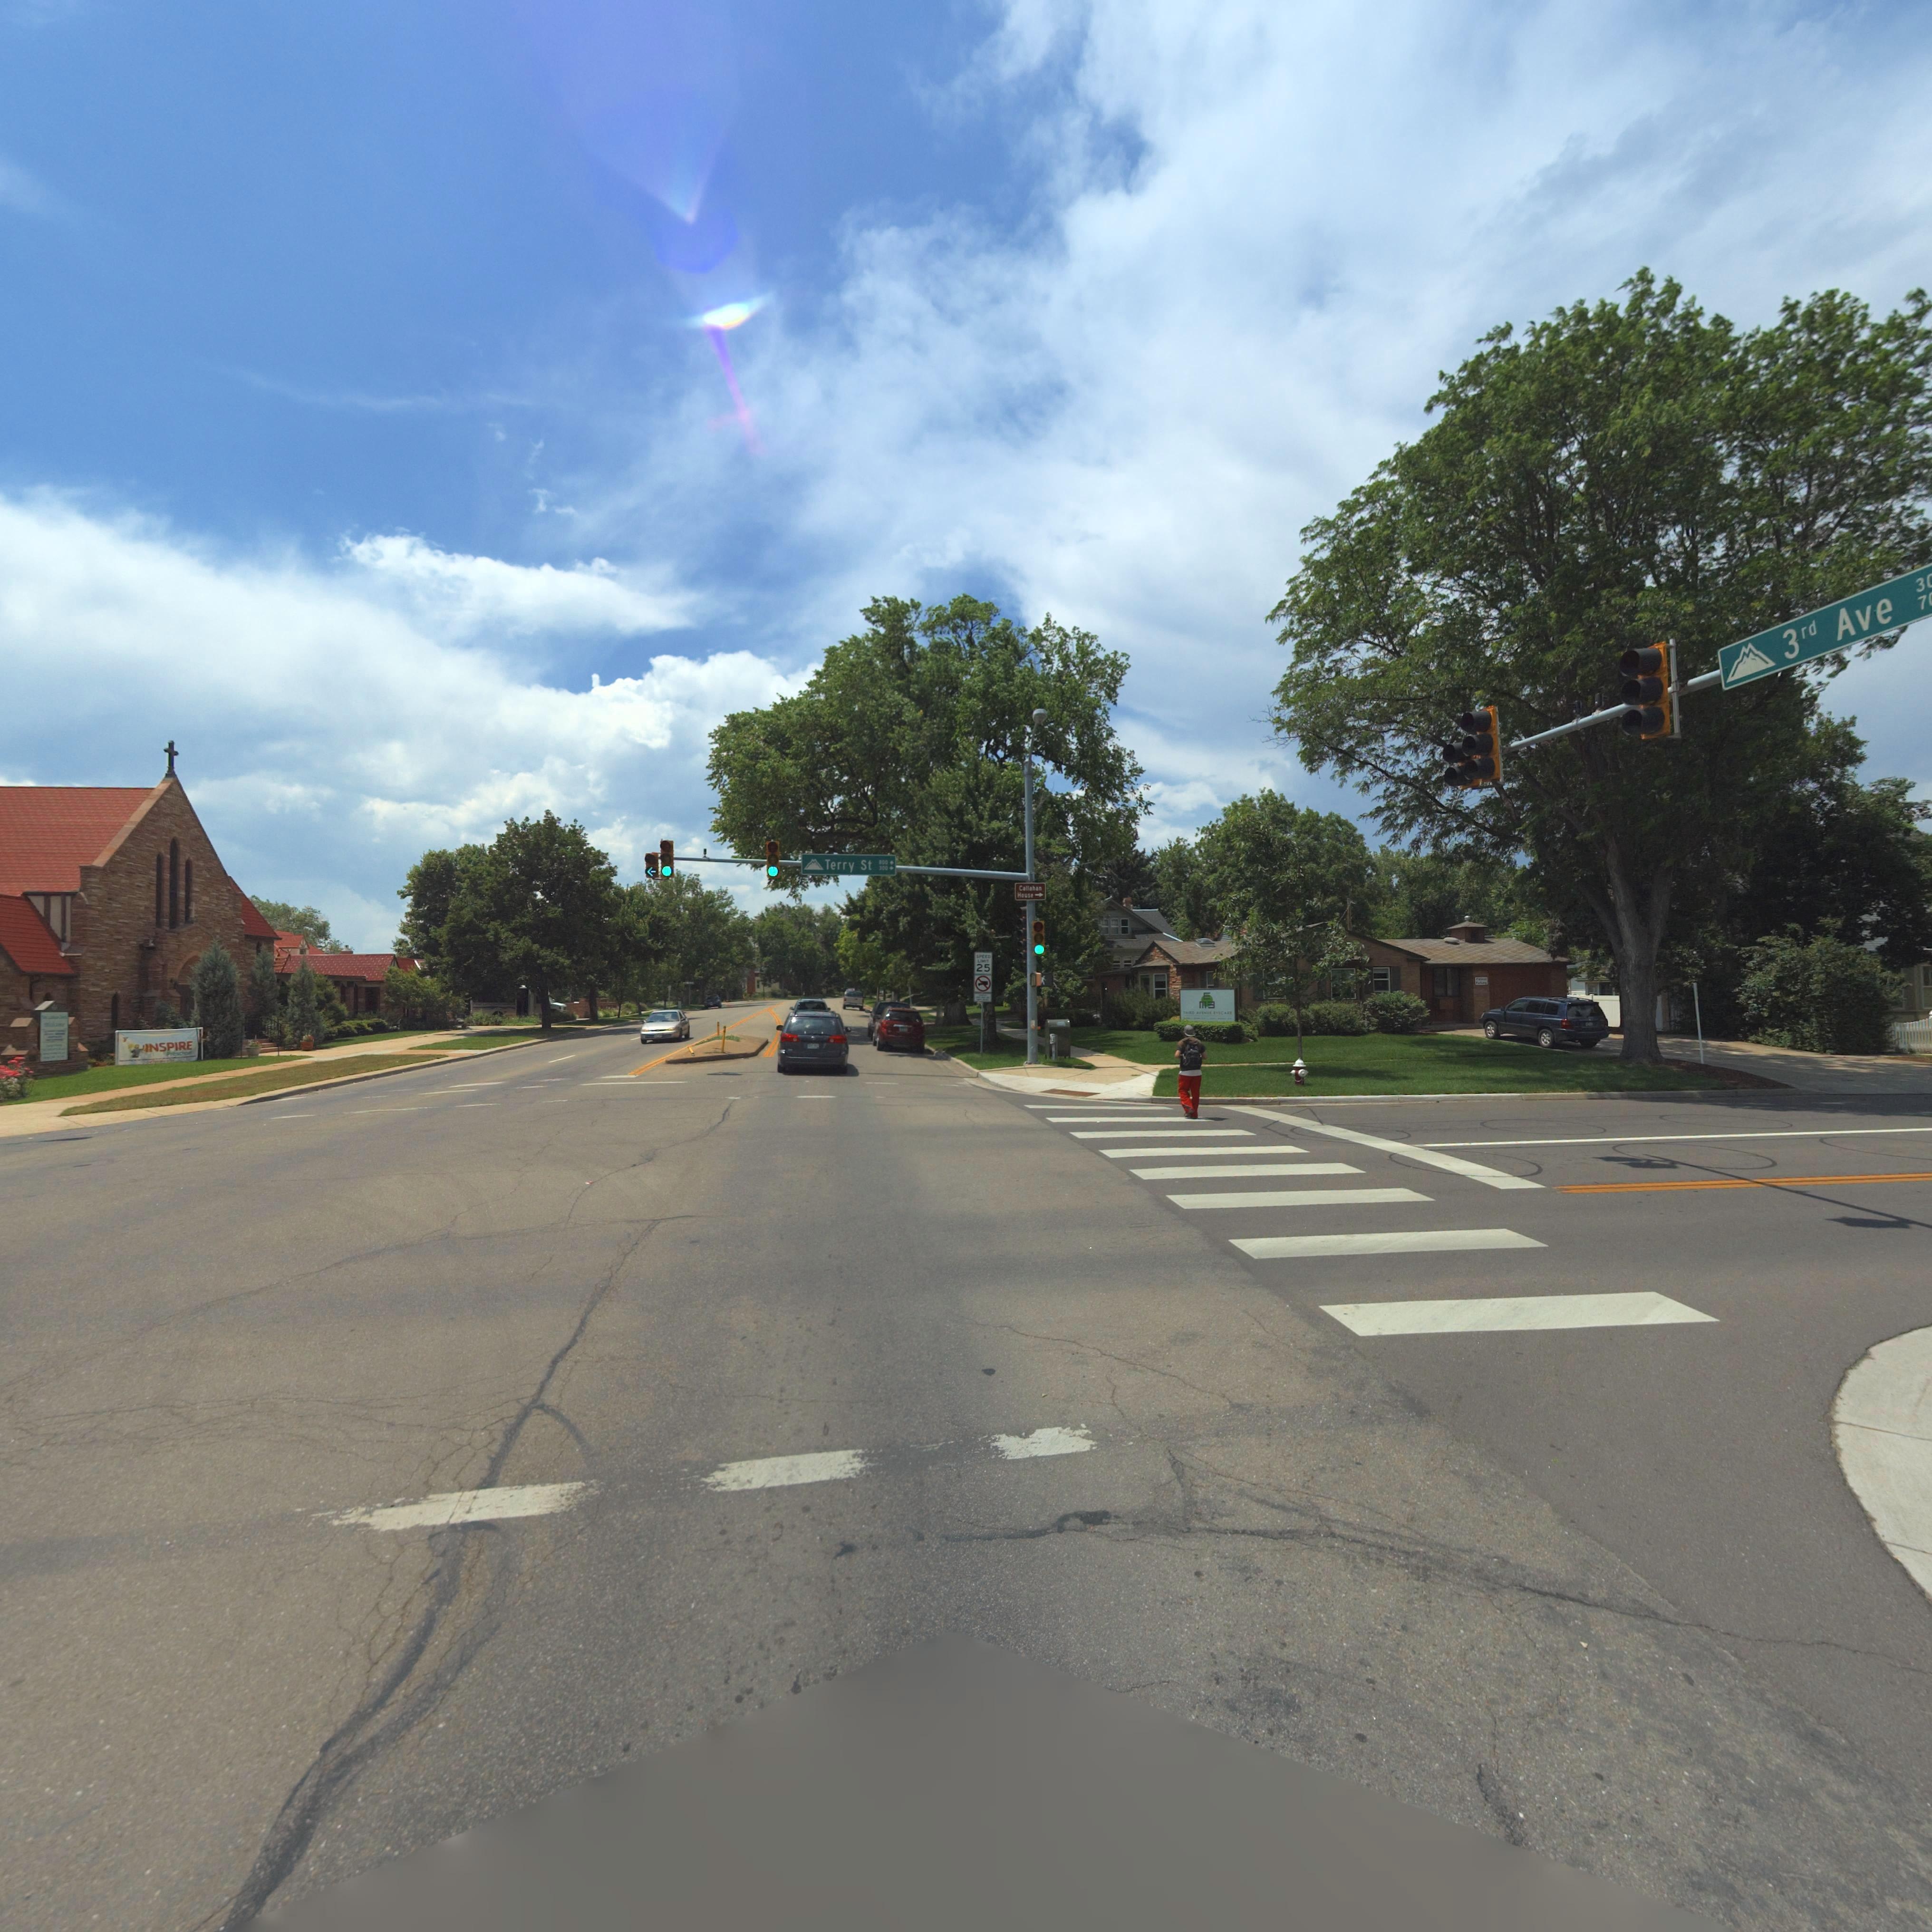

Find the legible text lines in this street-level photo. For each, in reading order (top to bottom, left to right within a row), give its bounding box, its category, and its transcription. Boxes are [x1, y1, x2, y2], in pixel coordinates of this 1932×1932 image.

[1914, 576, 1926, 593] StreetNumberRange: 3
[1915, 594, 1927, 611] StreetNumberRange: 7
[1781, 595, 1894, 659] StreetName: 3rd Ave
[824, 859, 872, 873] StreetName: Terry St
[879, 860, 889, 865] StreetNumberRange: 800
[878, 865, 894, 870] StreetNumberRange: 300->
[1203, 992, 1210, 1000] BusinessName: E
[1199, 1001, 1215, 1008] BusinessName: M3
[1183, 1011, 1232, 1014] BusinessName: THIRD AVENUE EYECARE
[144, 1041, 193, 1053] BusinessName: INSPIRE